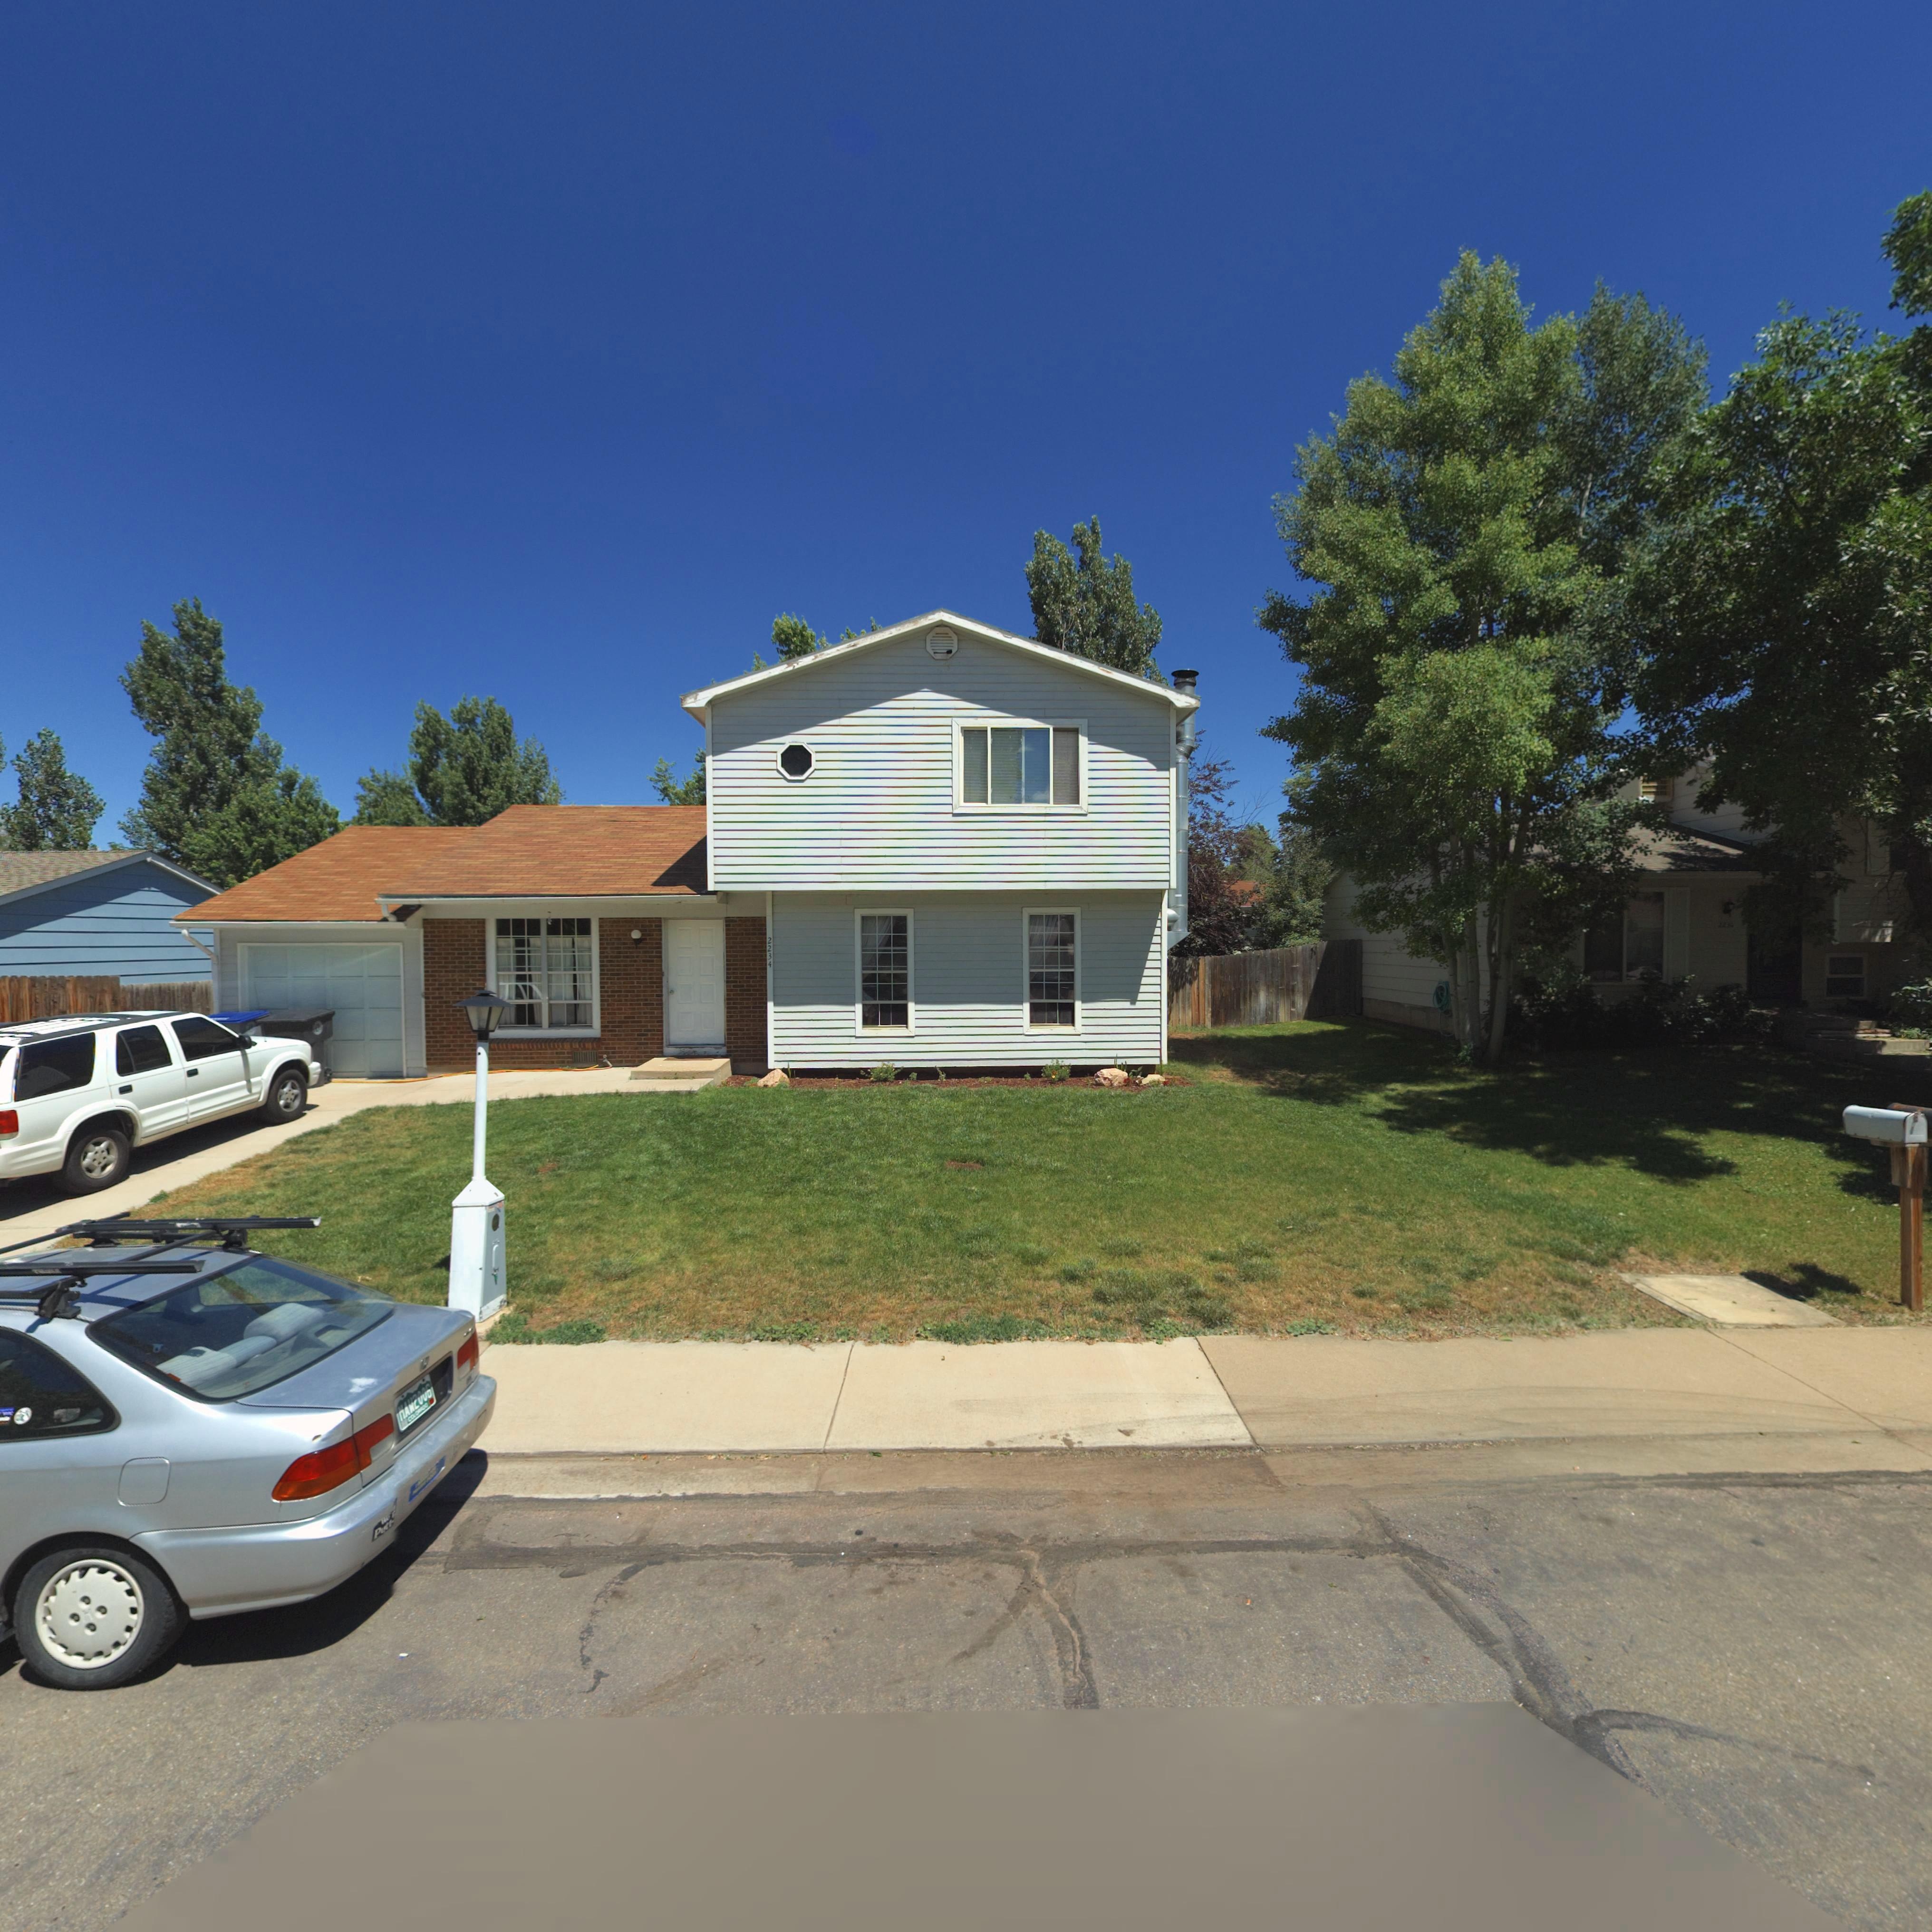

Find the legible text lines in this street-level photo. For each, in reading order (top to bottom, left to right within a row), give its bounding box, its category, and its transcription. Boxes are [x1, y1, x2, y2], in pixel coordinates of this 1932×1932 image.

[766, 937, 772, 968] StreetNumber: 2234